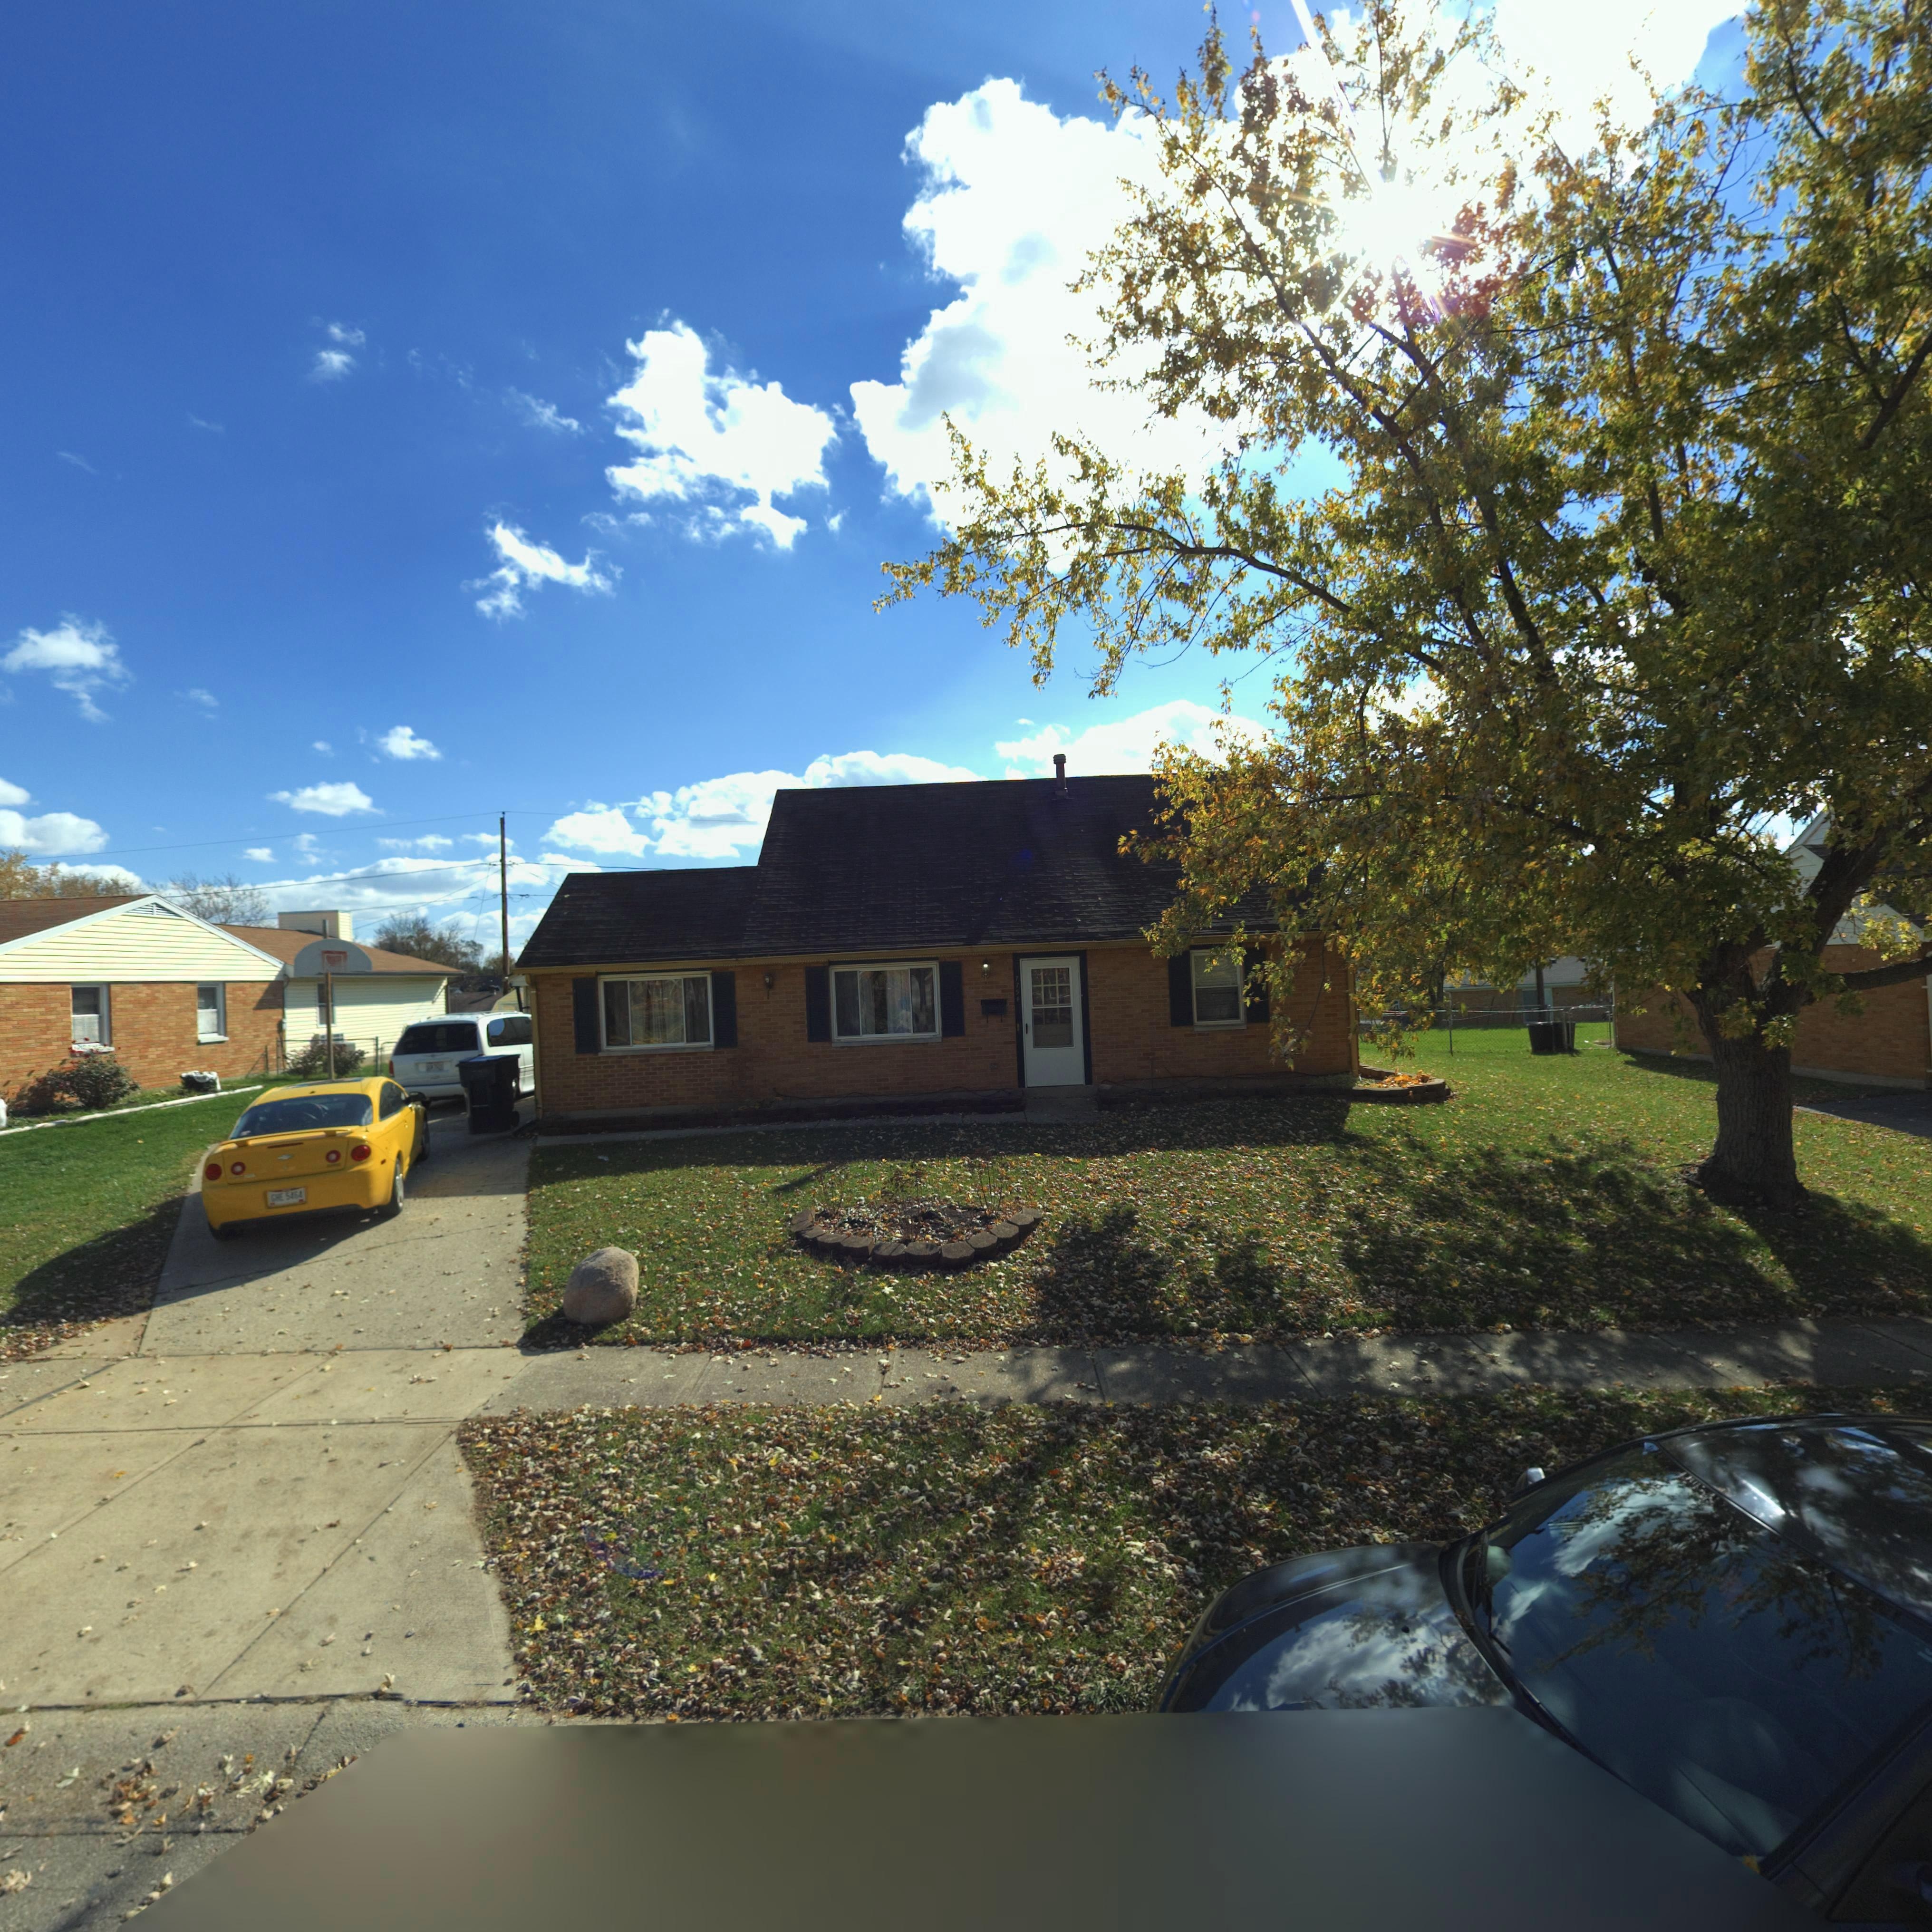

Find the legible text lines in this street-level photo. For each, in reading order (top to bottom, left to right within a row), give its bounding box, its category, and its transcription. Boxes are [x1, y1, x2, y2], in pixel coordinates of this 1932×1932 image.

[1014, 975, 1021, 1003] StreetNumber: 7754